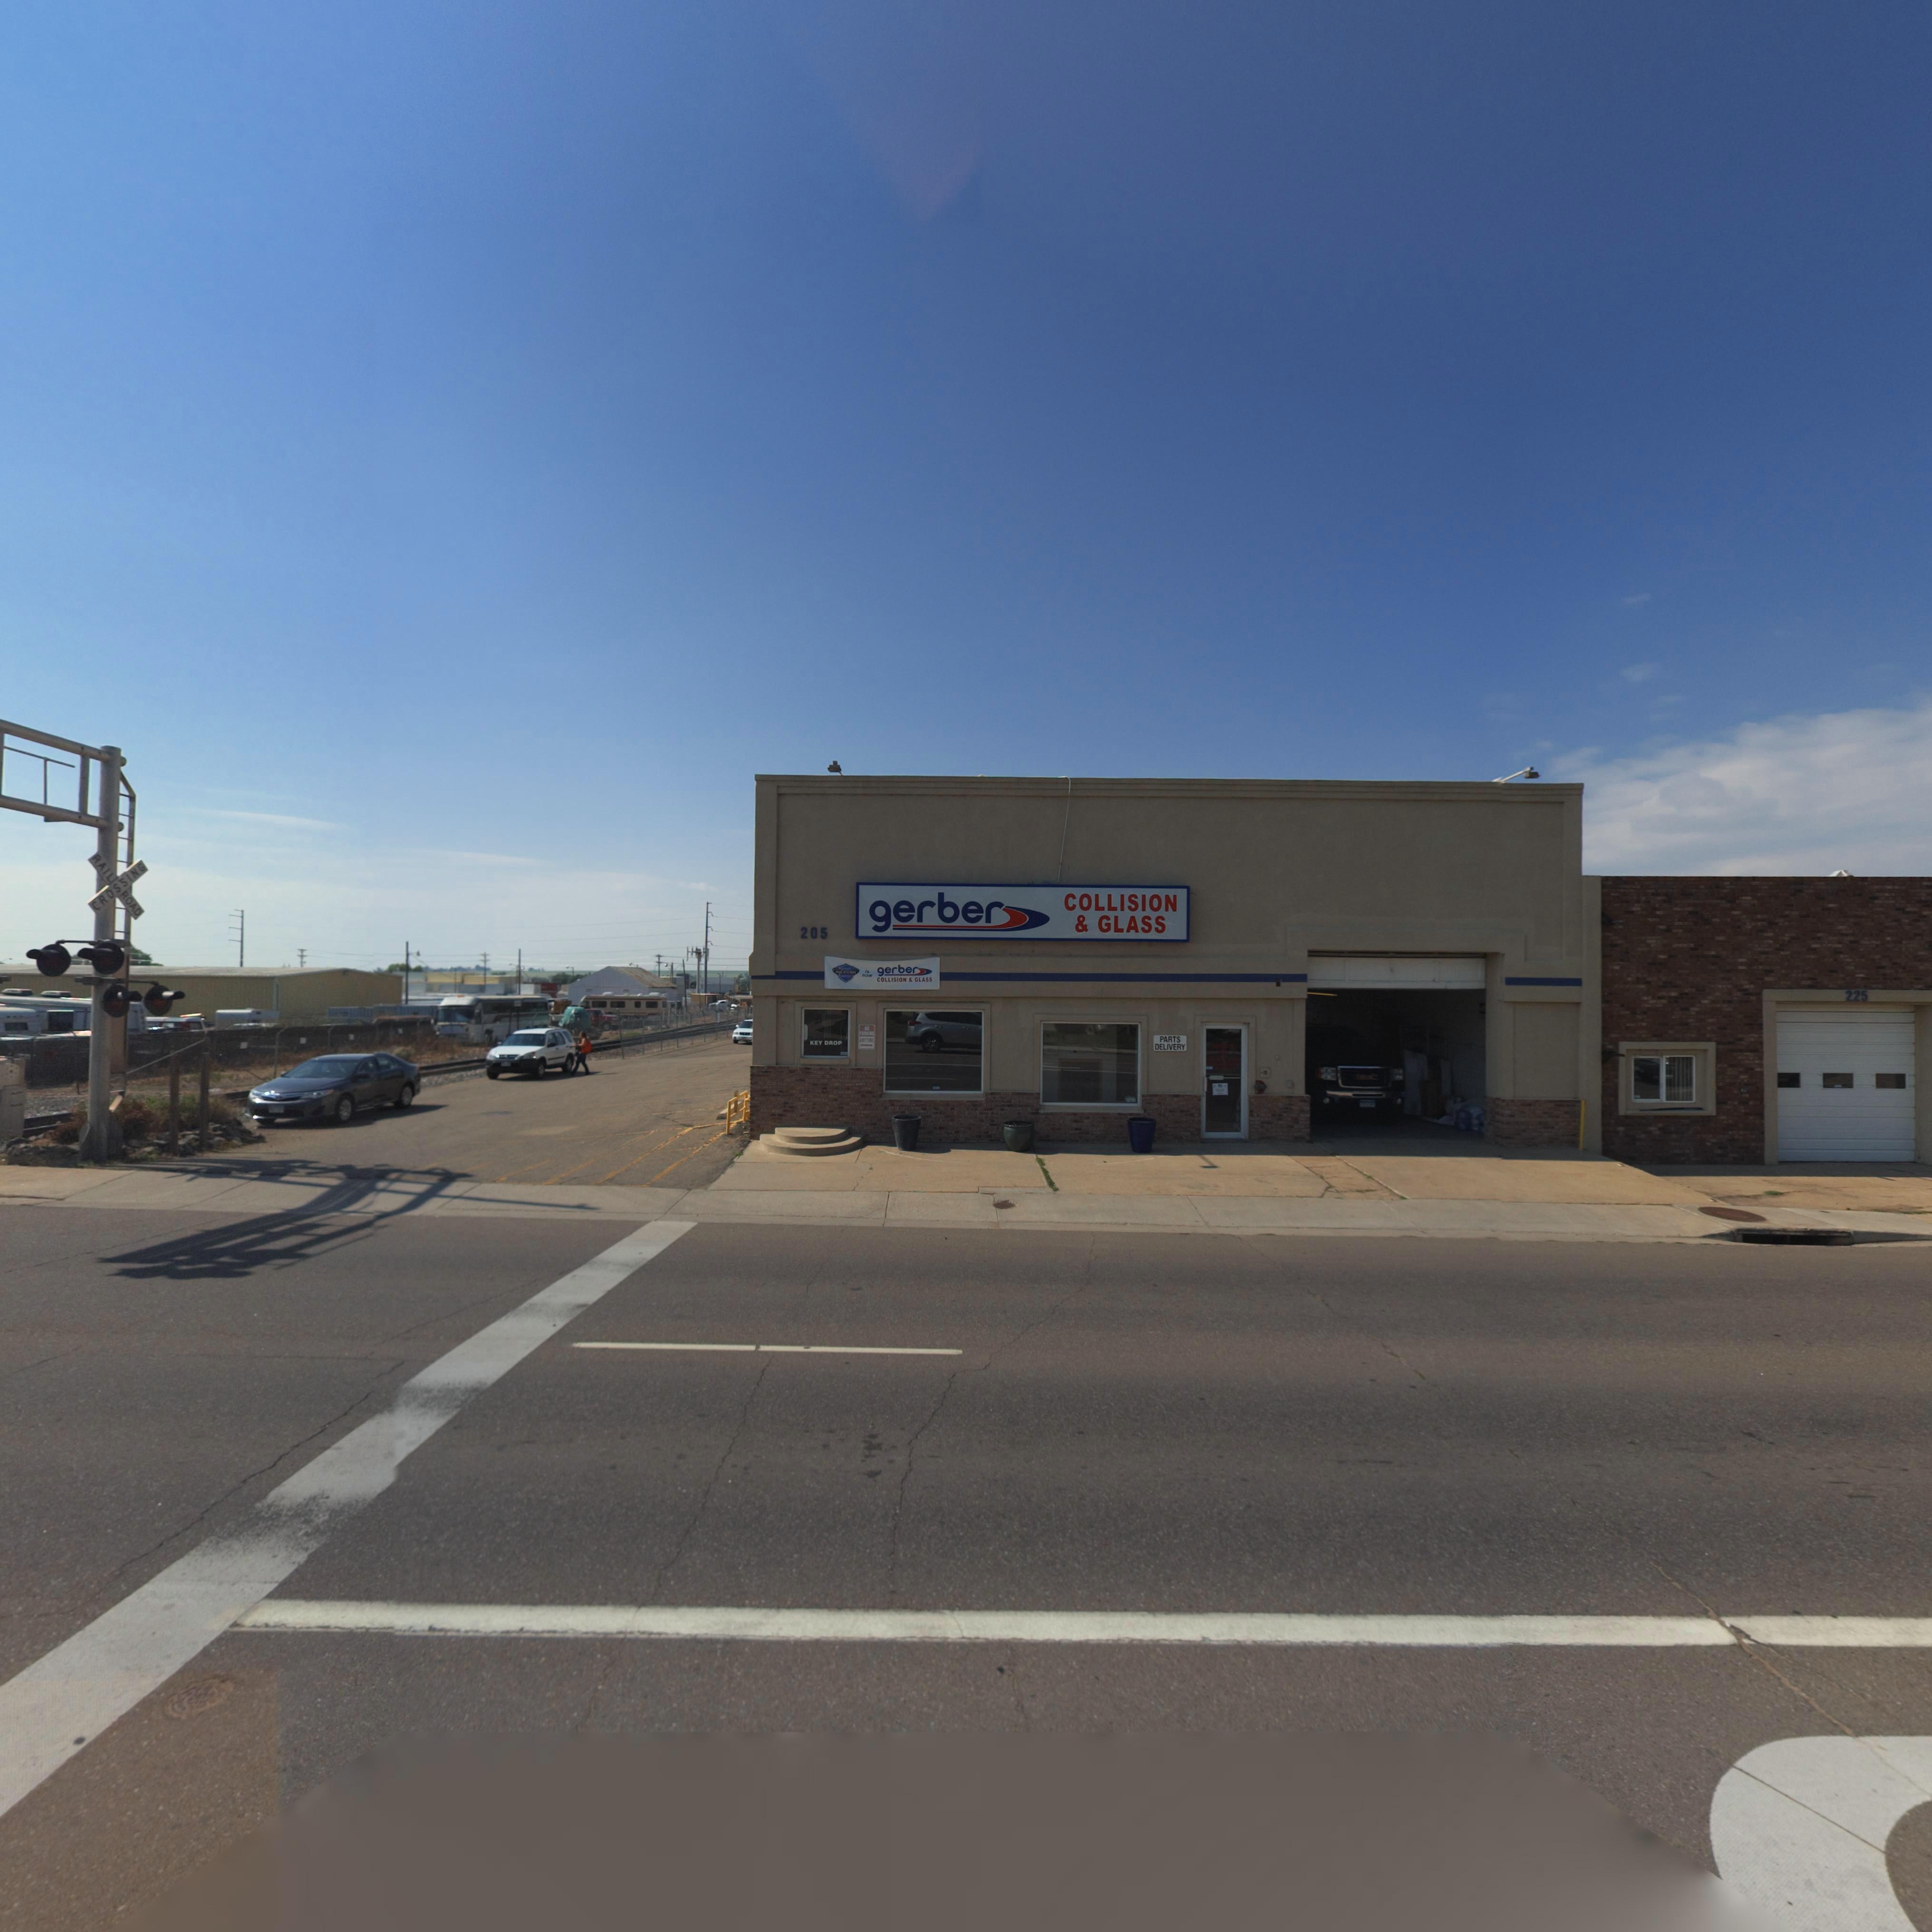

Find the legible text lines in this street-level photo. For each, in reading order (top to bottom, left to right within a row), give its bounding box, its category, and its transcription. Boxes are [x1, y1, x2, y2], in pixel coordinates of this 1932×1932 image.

[868, 891, 1005, 933] BusinessName: gerber
[1063, 892, 1177, 912] BusinessName: COLLISION
[799, 926, 828, 940] StreetNumber: 205
[1074, 914, 1166, 934] BusinessName: * GLASS
[877, 964, 918, 976] BusinessName: gerber
[1845, 989, 1868, 1001] StreetNumber: 225